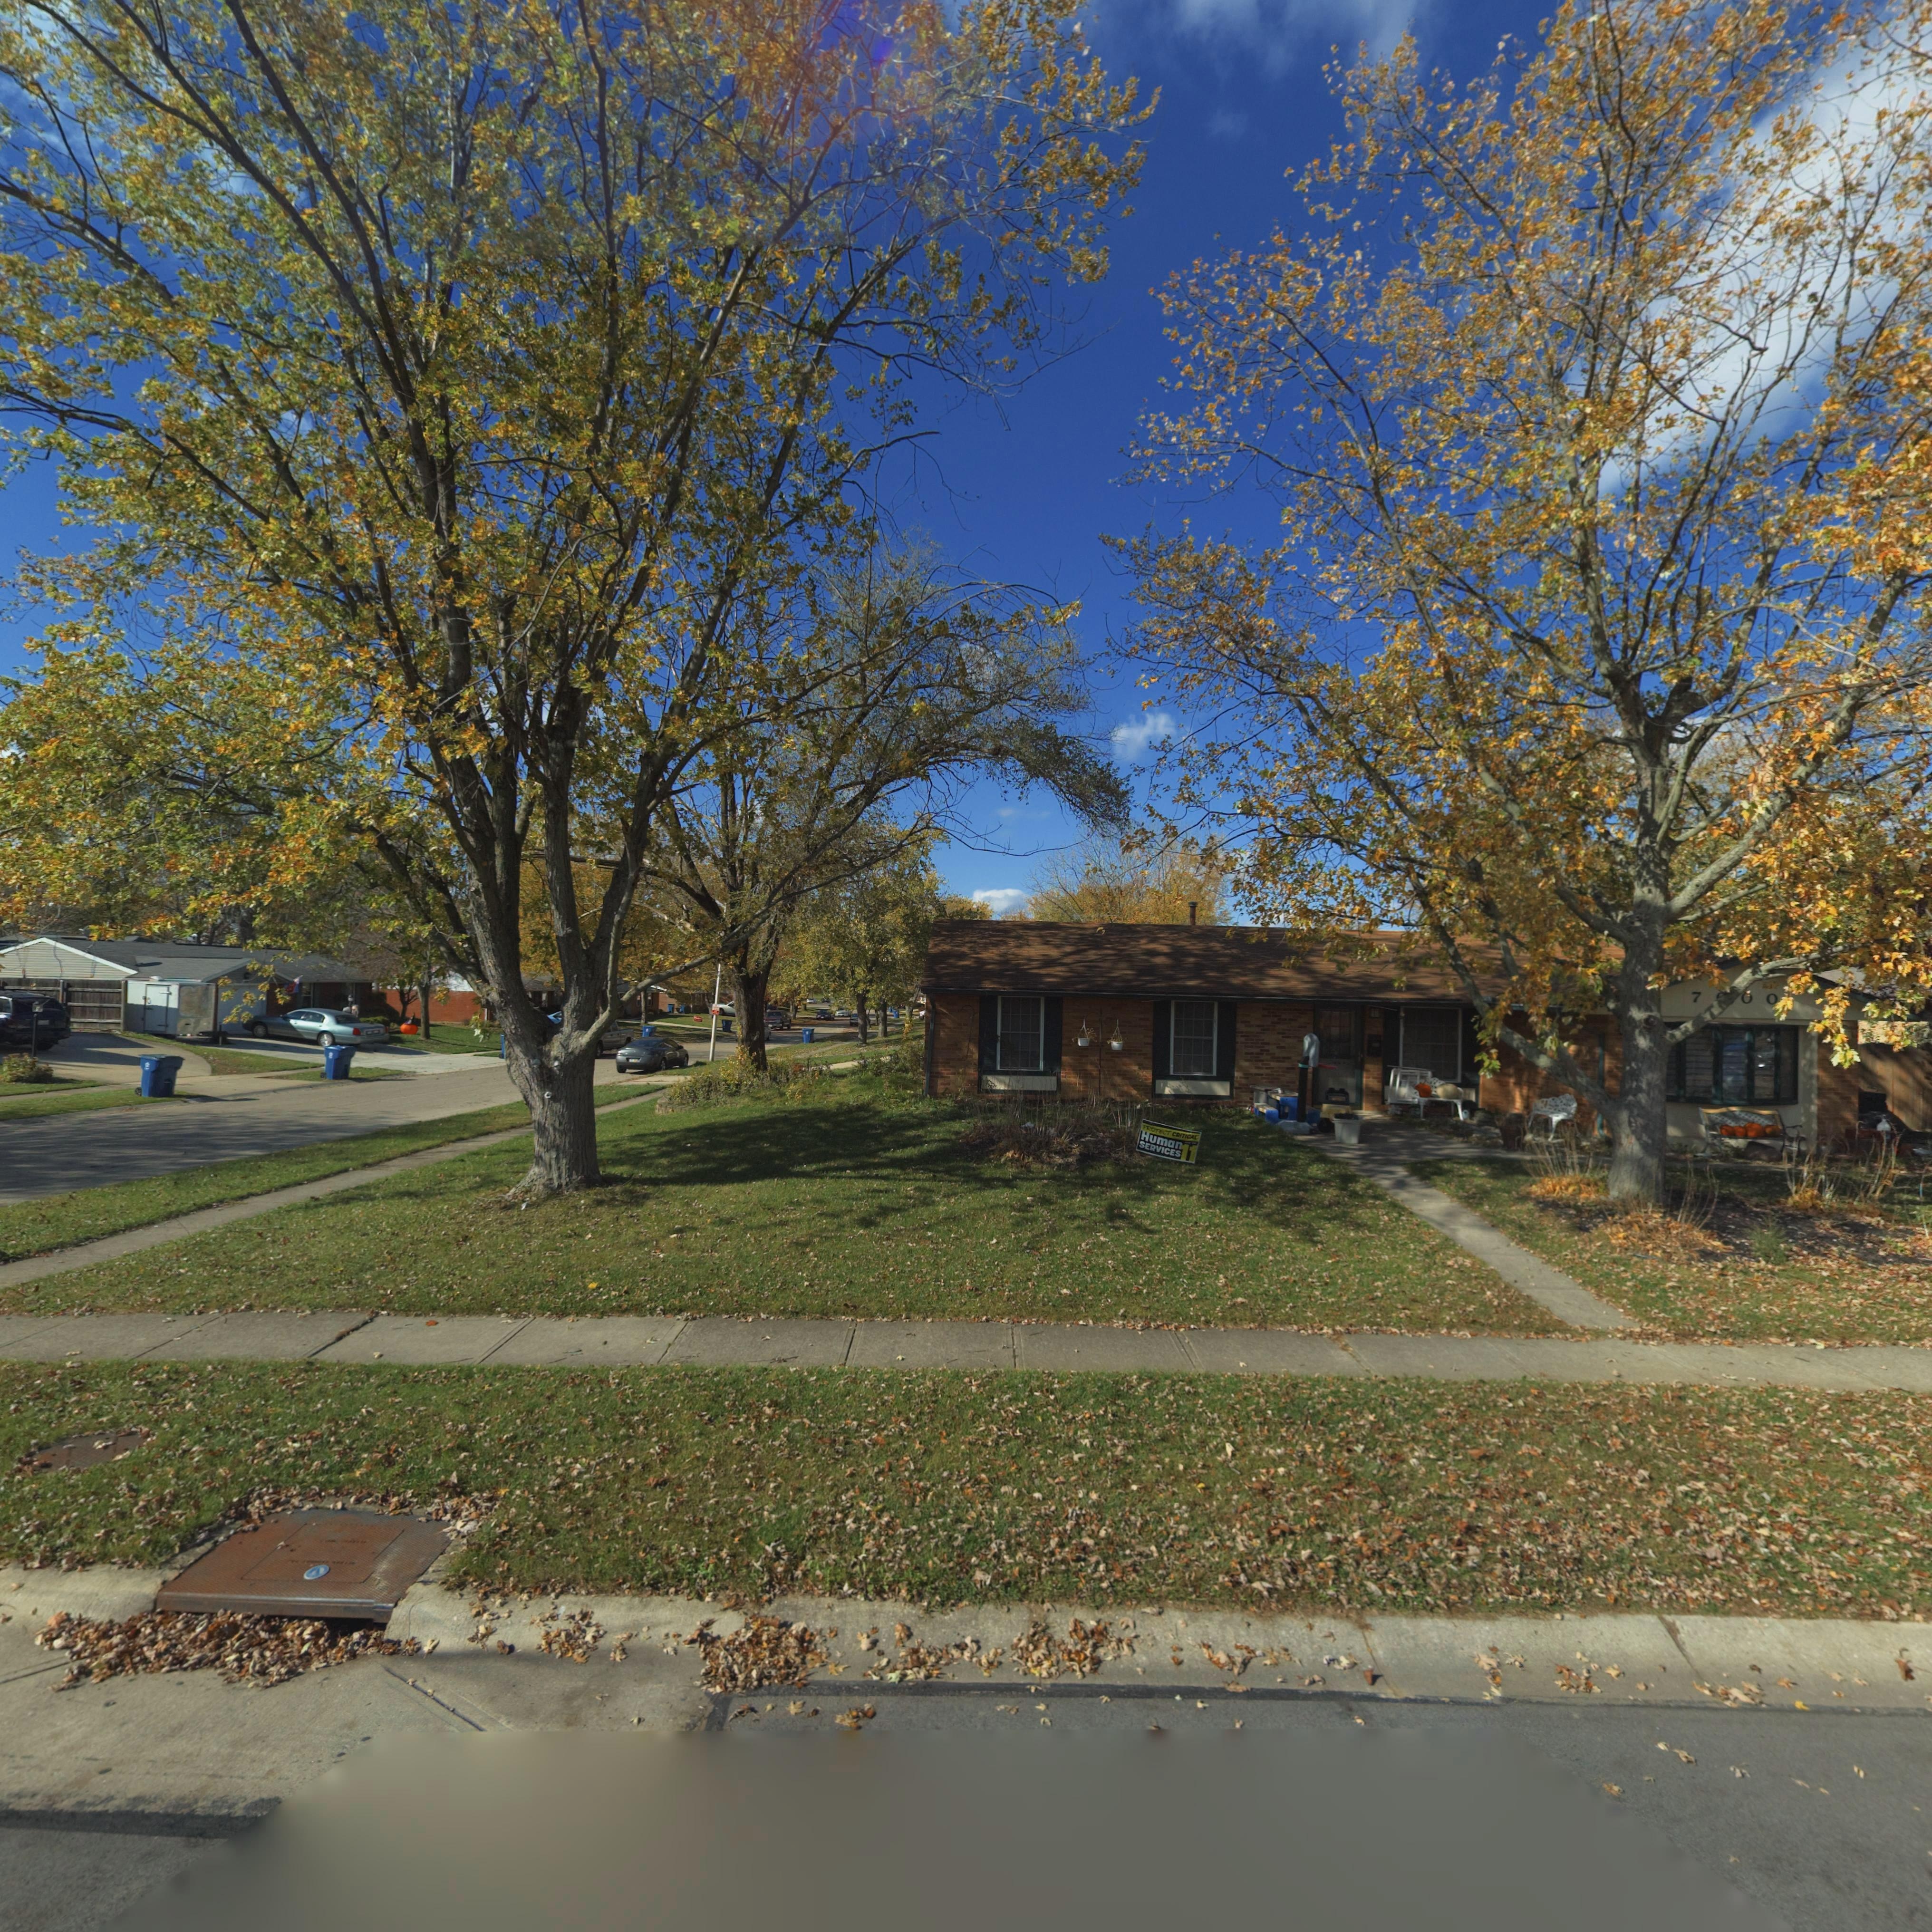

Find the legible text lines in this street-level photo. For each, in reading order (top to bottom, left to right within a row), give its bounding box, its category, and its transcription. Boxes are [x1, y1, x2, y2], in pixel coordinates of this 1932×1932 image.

[1690, 990, 1779, 1006] StreetNumber: 7**0